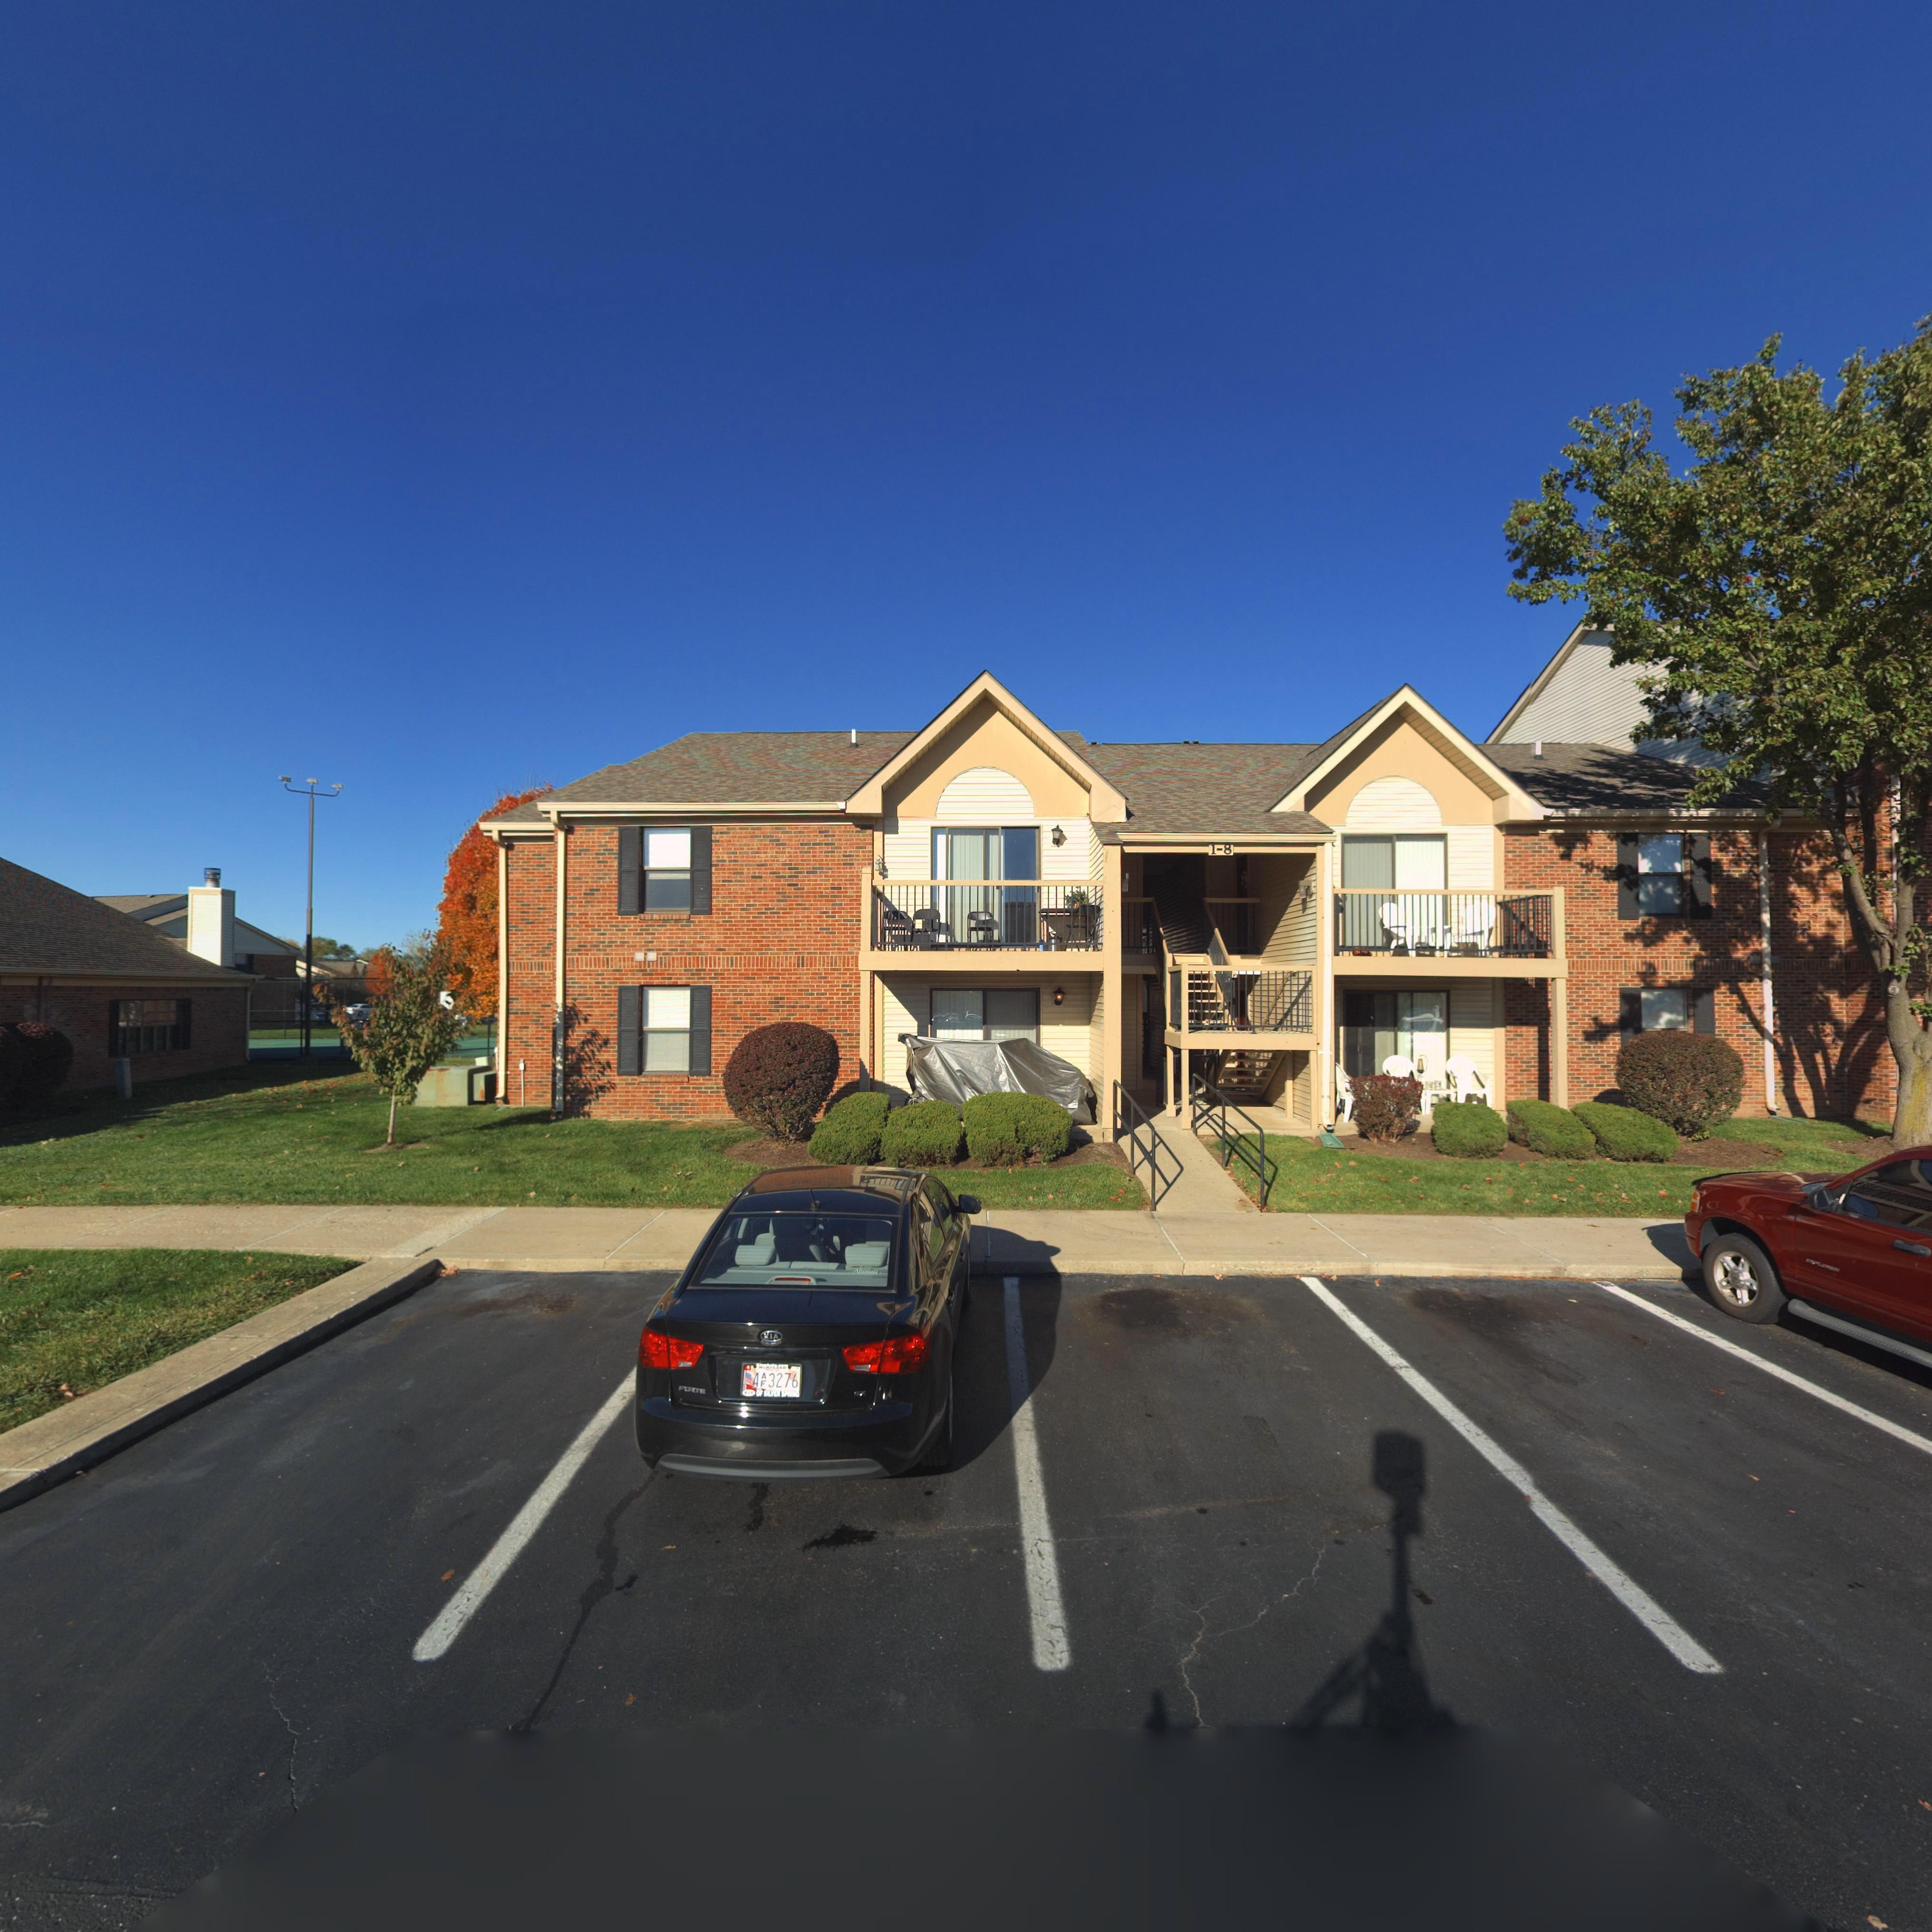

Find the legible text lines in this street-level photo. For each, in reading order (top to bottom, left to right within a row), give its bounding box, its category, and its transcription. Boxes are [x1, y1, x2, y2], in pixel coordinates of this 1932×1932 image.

[1209, 843, 1233, 855] StreetNumber: 1-8